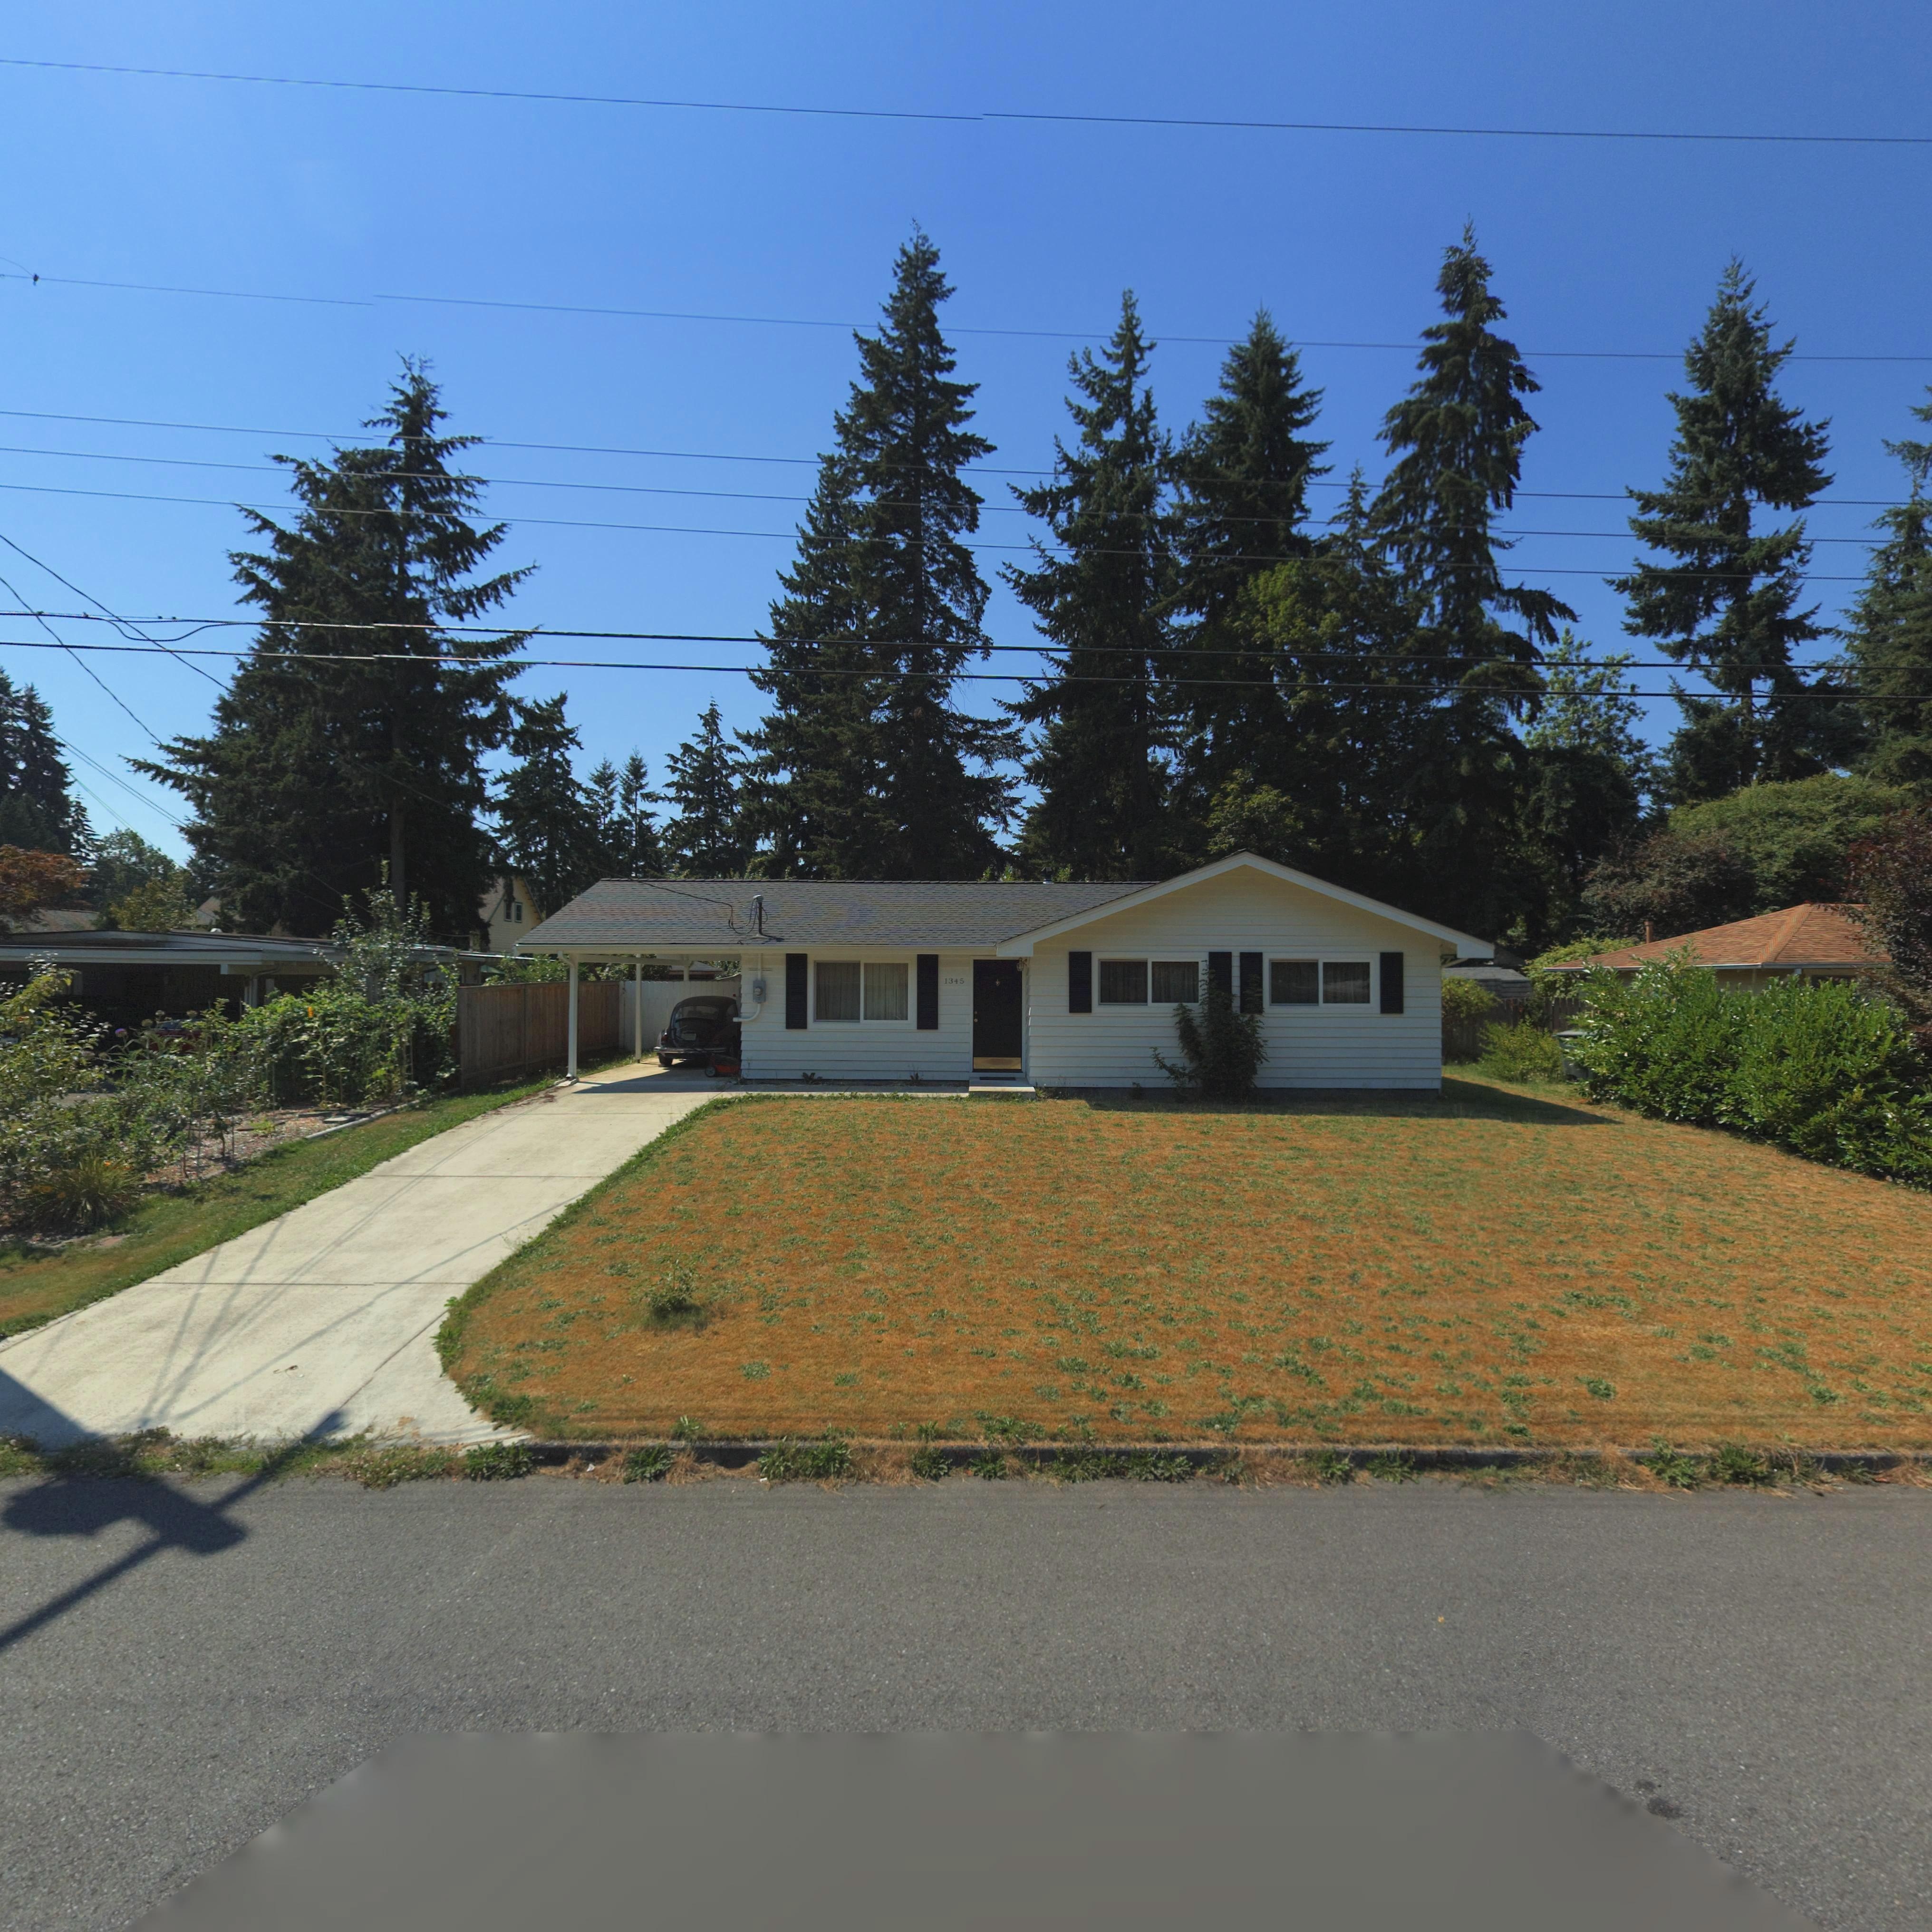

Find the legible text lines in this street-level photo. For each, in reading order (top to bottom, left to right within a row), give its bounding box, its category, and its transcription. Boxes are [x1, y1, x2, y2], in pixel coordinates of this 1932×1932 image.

[944, 977, 965, 985] StreetNumber: 1345